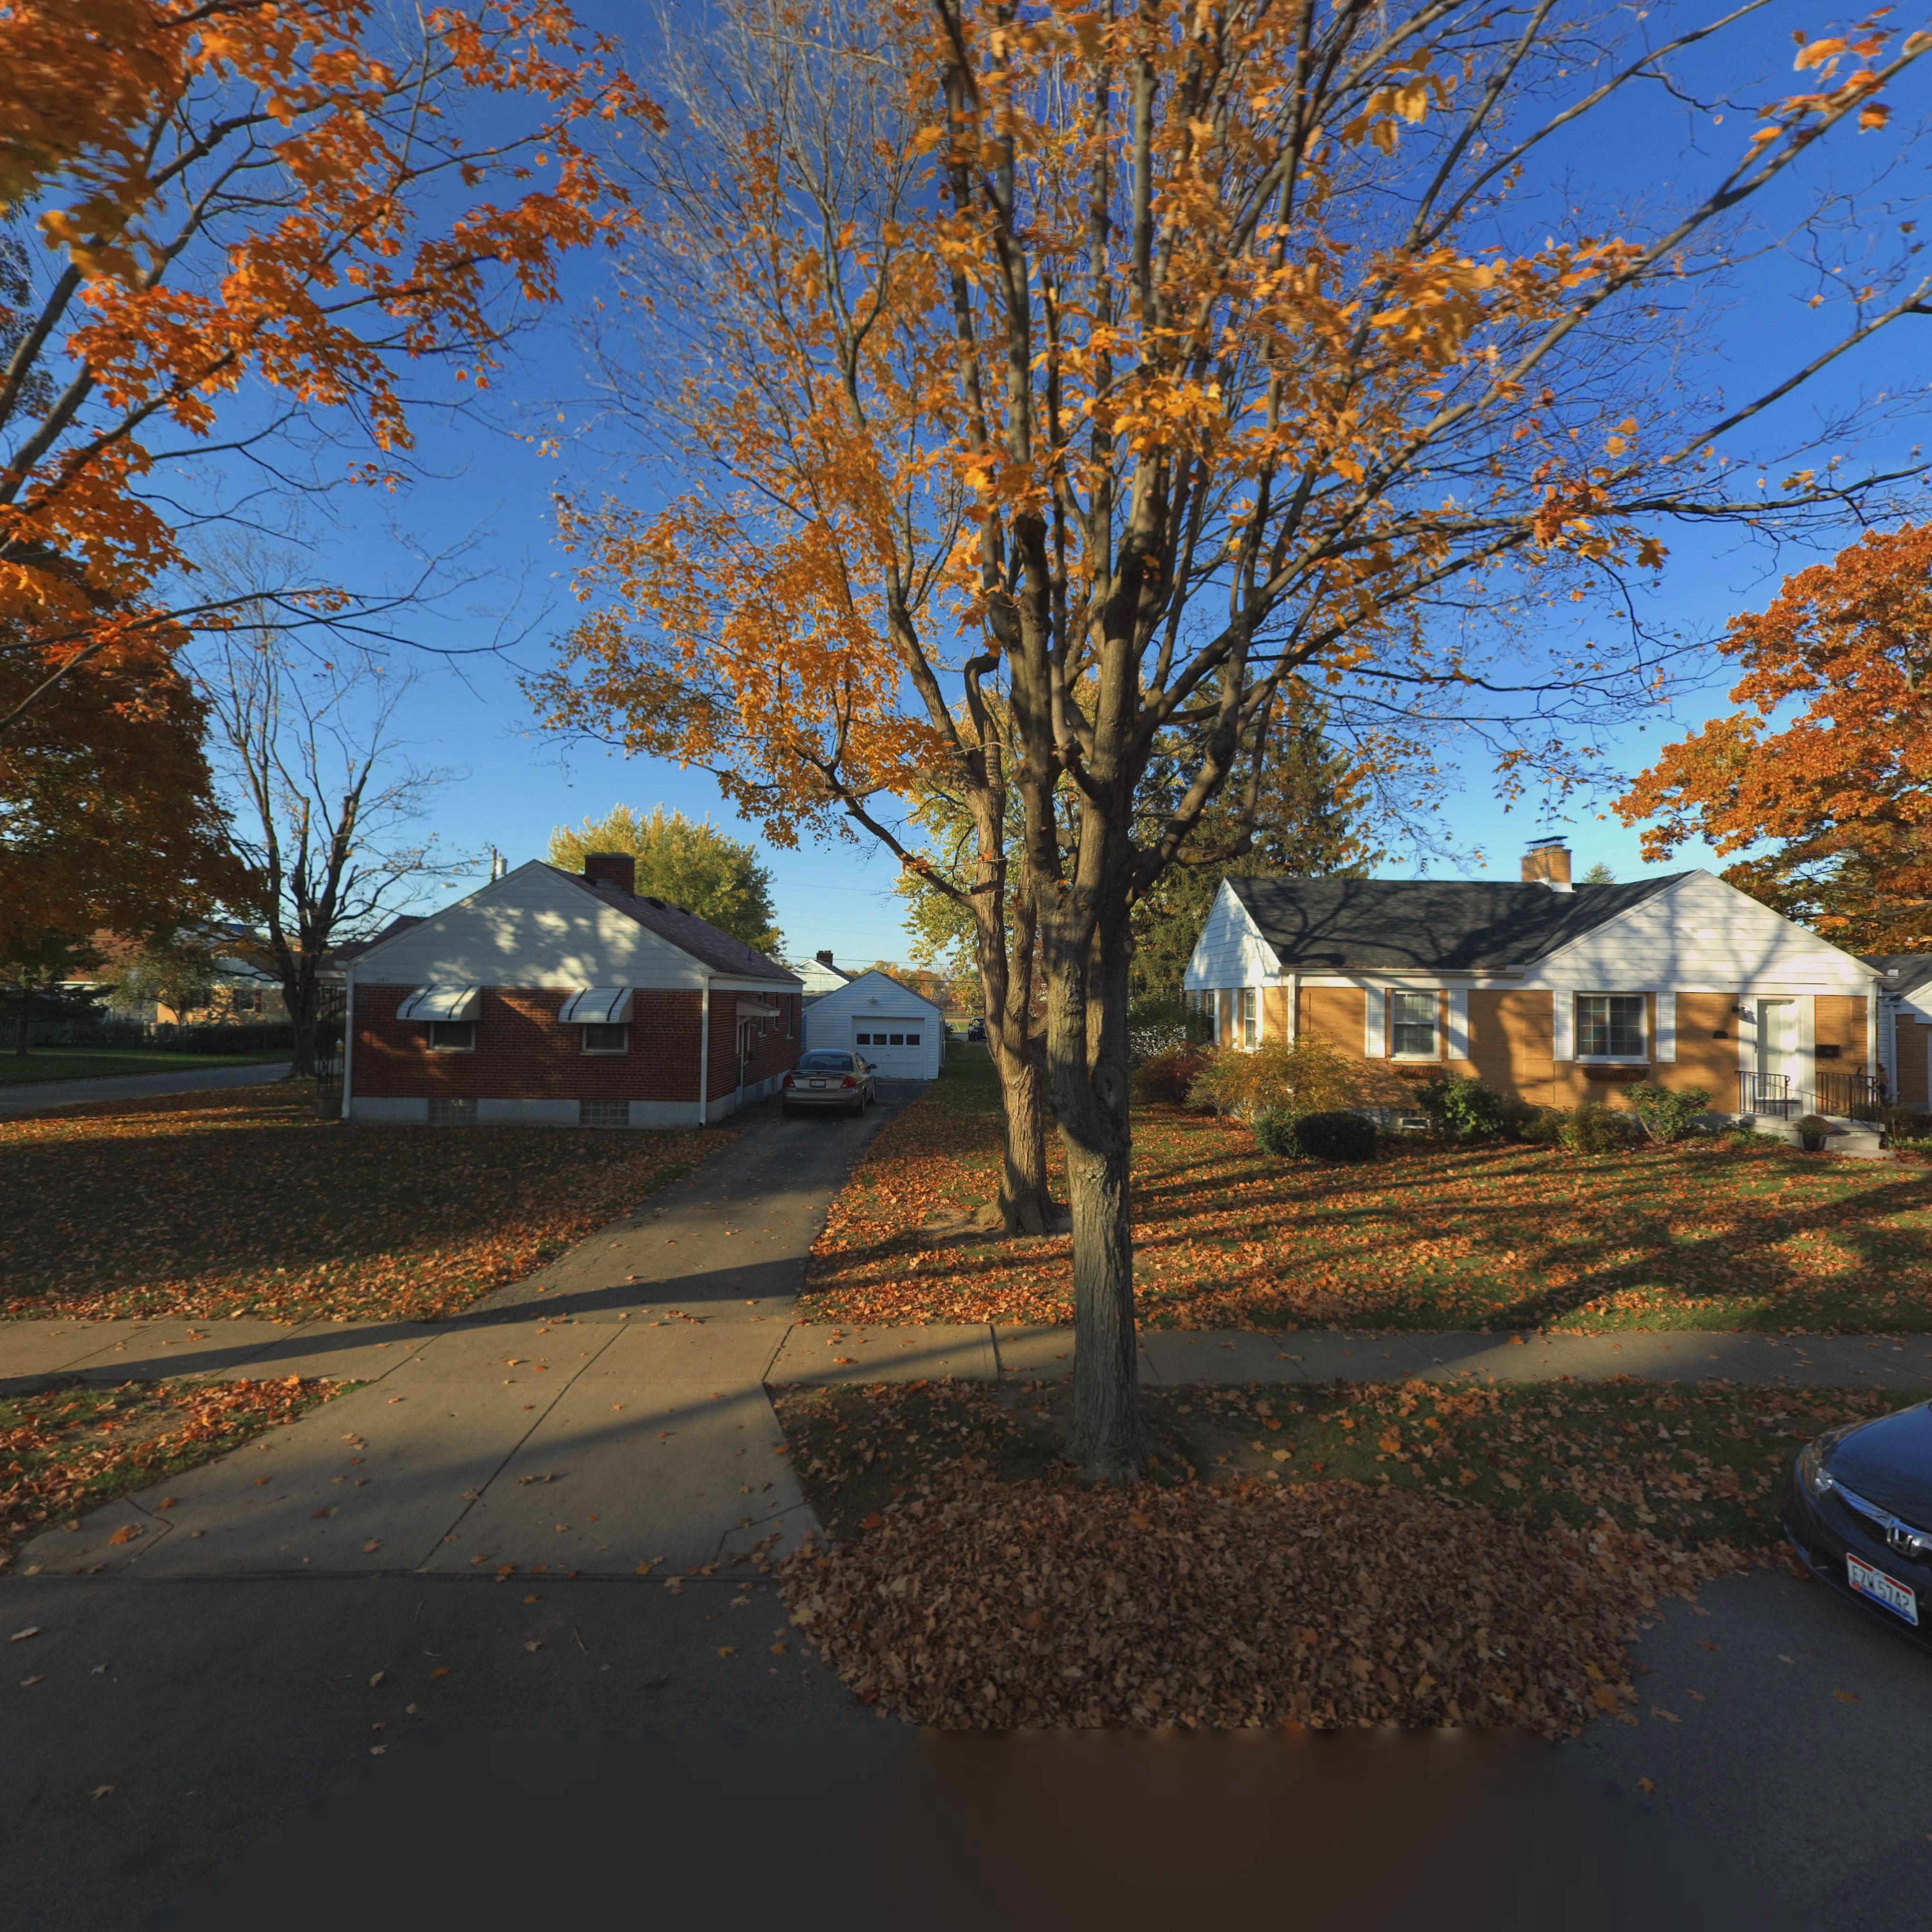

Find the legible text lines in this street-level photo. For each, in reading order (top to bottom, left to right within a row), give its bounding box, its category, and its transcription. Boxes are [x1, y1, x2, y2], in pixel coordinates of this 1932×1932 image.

[376, 977, 388, 983] StreetNumber: 301